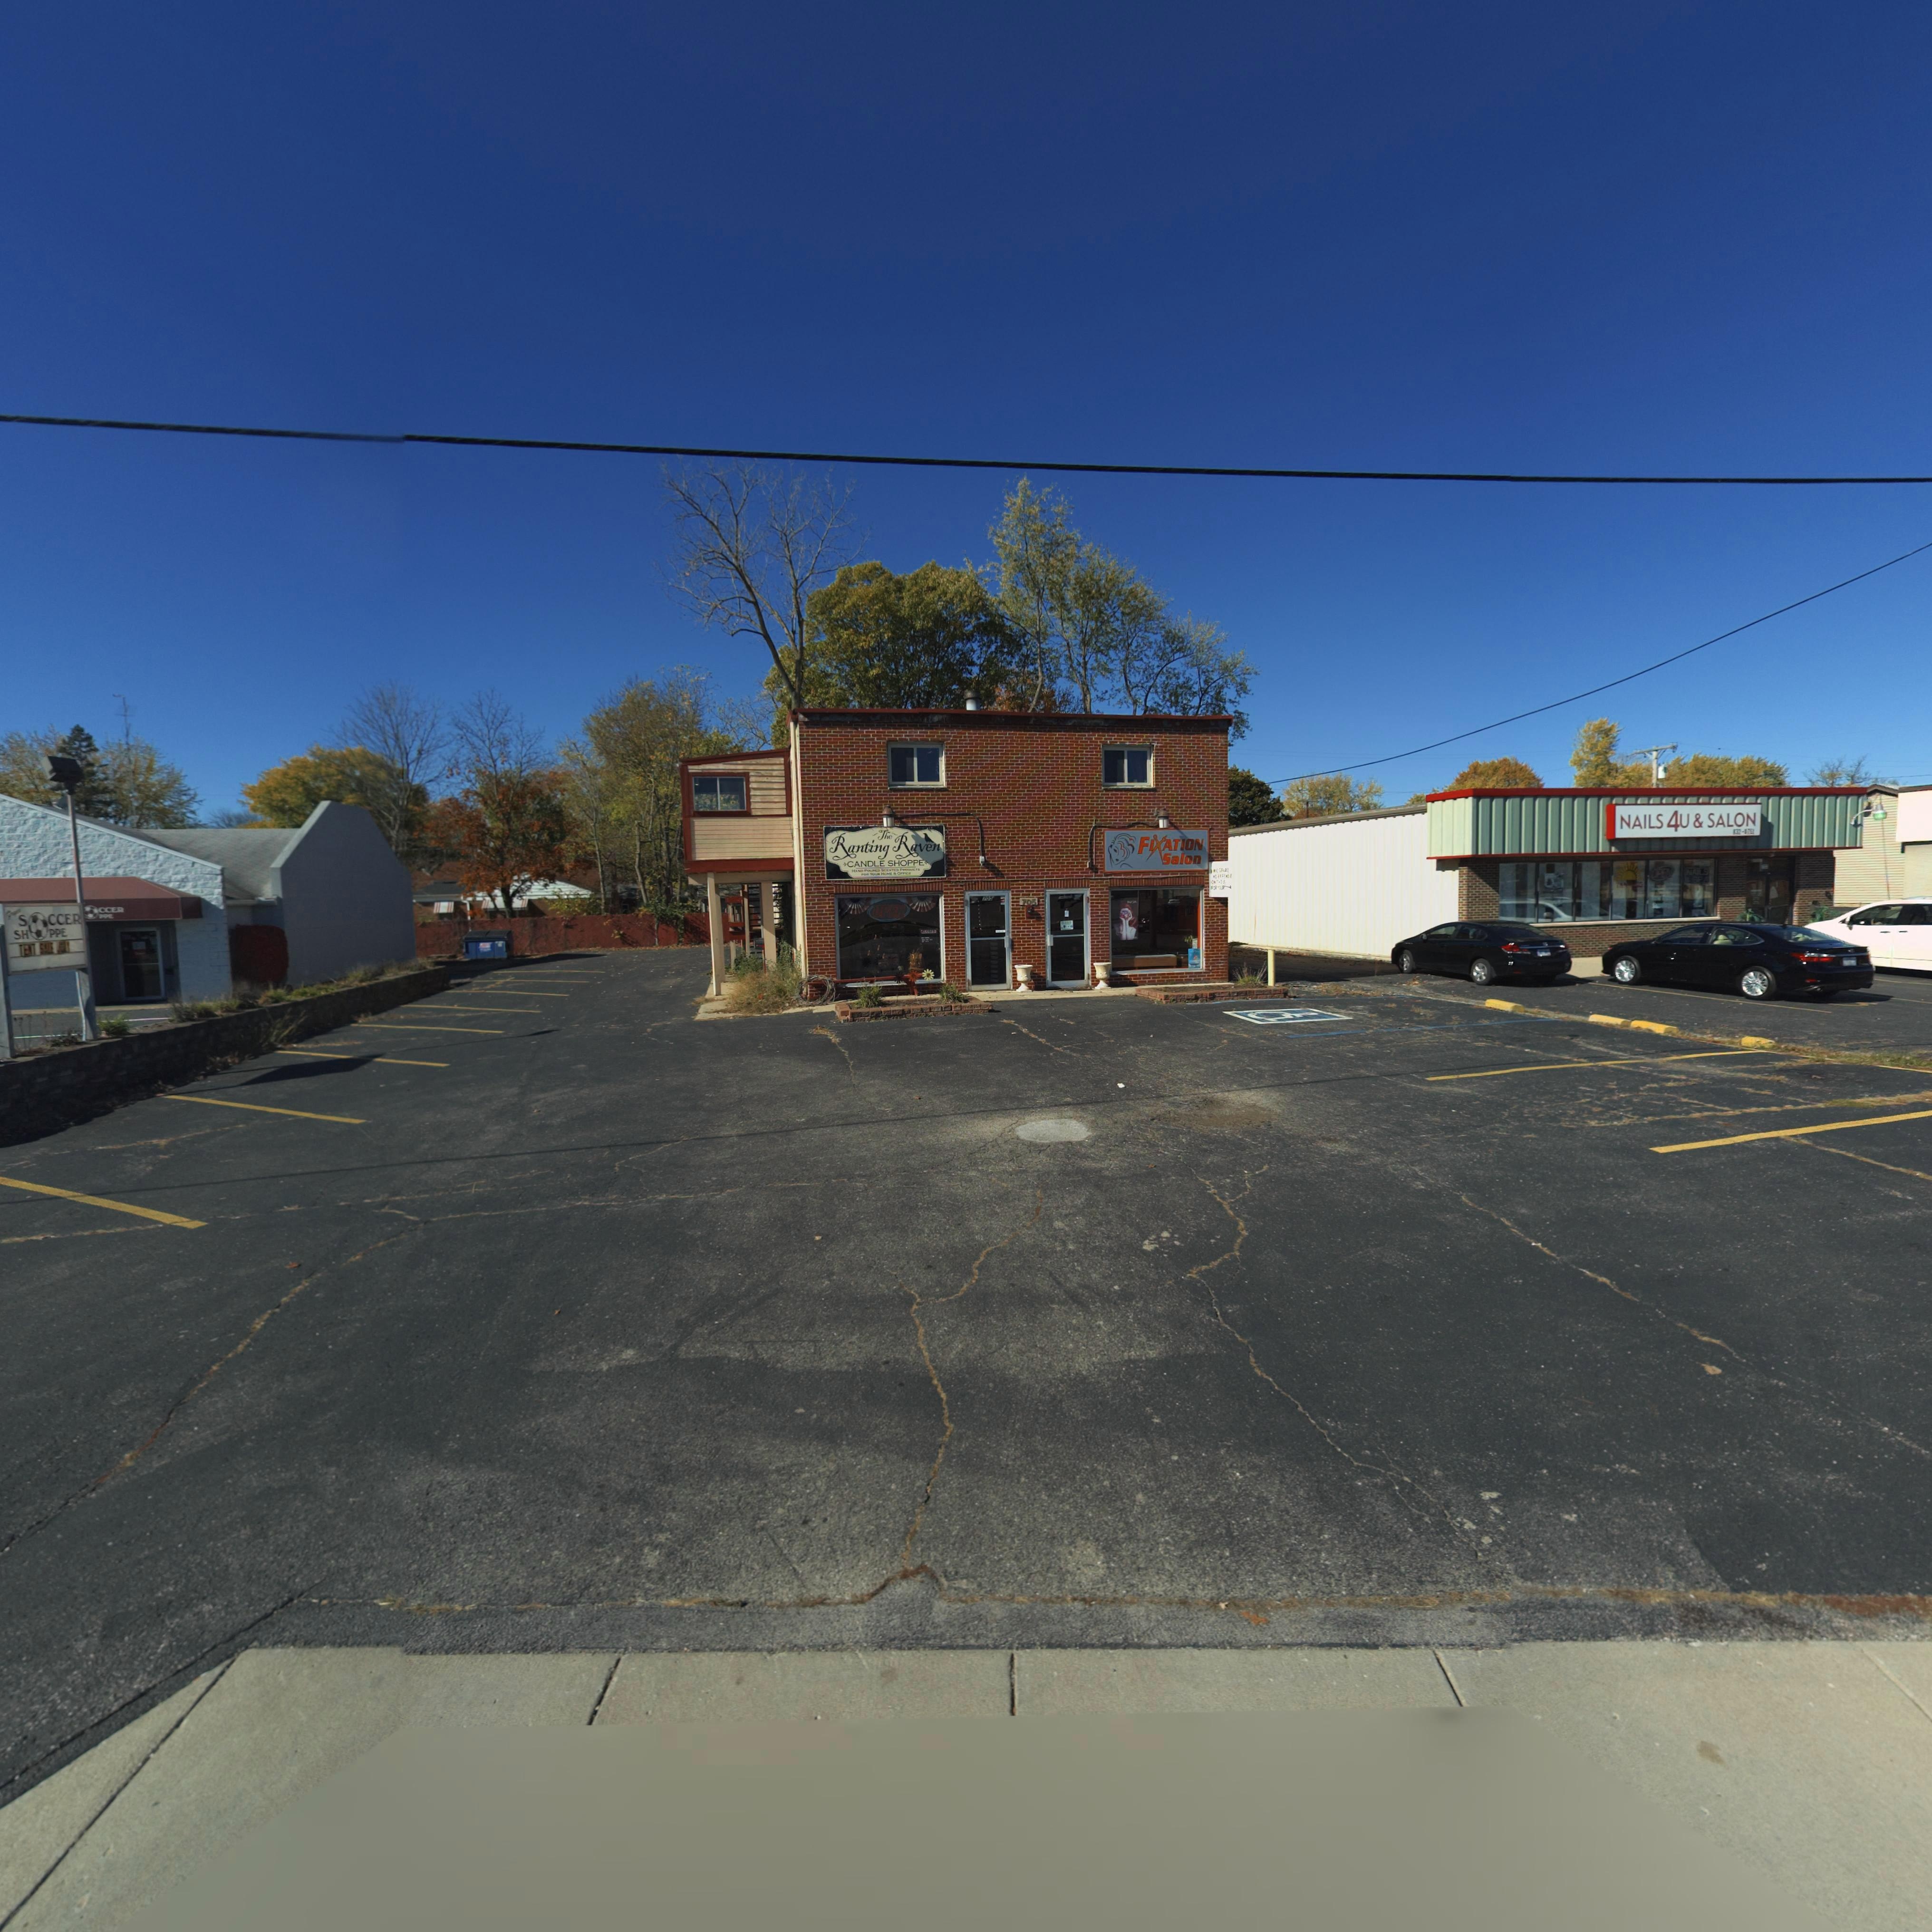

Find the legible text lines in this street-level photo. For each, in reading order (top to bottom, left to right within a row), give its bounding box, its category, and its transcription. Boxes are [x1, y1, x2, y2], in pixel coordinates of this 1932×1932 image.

[1619, 809, 1757, 832] BusinessName: NAILS 4U & SALON
[877, 829, 893, 841] BusinessName: The
[829, 834, 941, 860] BusinessName: Ranting Raven
[1137, 836, 1206, 855] BusinessName: FIXATION
[846, 859, 925, 868] BusinessName: CANDLE SHOPPE
[1161, 851, 1202, 865] BusinessName: Salon
[982, 895, 993, 901] StreetNumber: 70*
[1021, 898, 1037, 906] StreetNumber: 705
[17, 913, 83, 927] BusinessName: S*CCER
[98, 913, 115, 919] BusinessName: PPE
[97, 906, 125, 914] BusinessName: CCER
[13, 927, 68, 940] BusinessName: SH*PPE